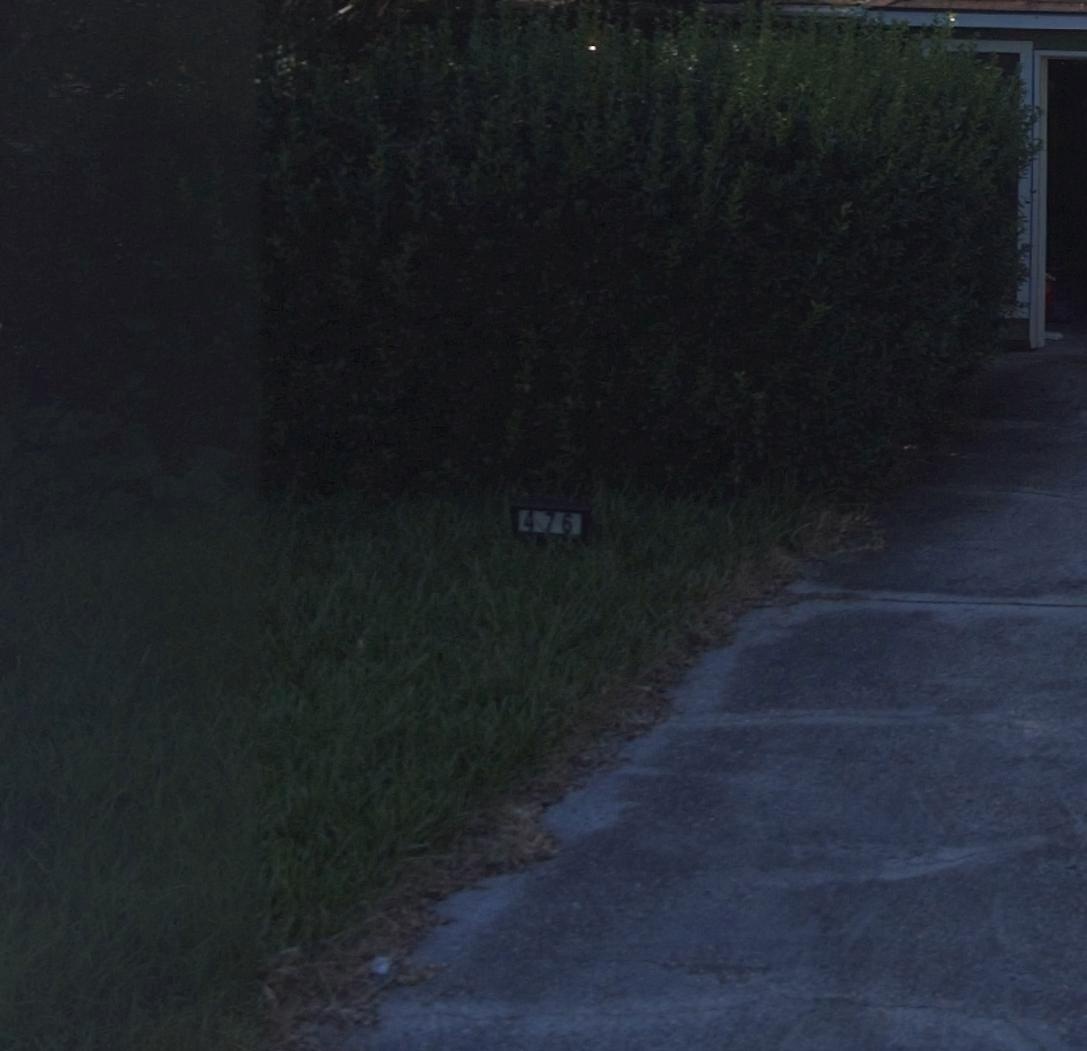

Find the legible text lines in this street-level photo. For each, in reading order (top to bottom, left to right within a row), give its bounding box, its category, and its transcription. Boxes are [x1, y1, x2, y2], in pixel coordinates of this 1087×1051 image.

[519, 510, 575, 533] StreetNumber: 476